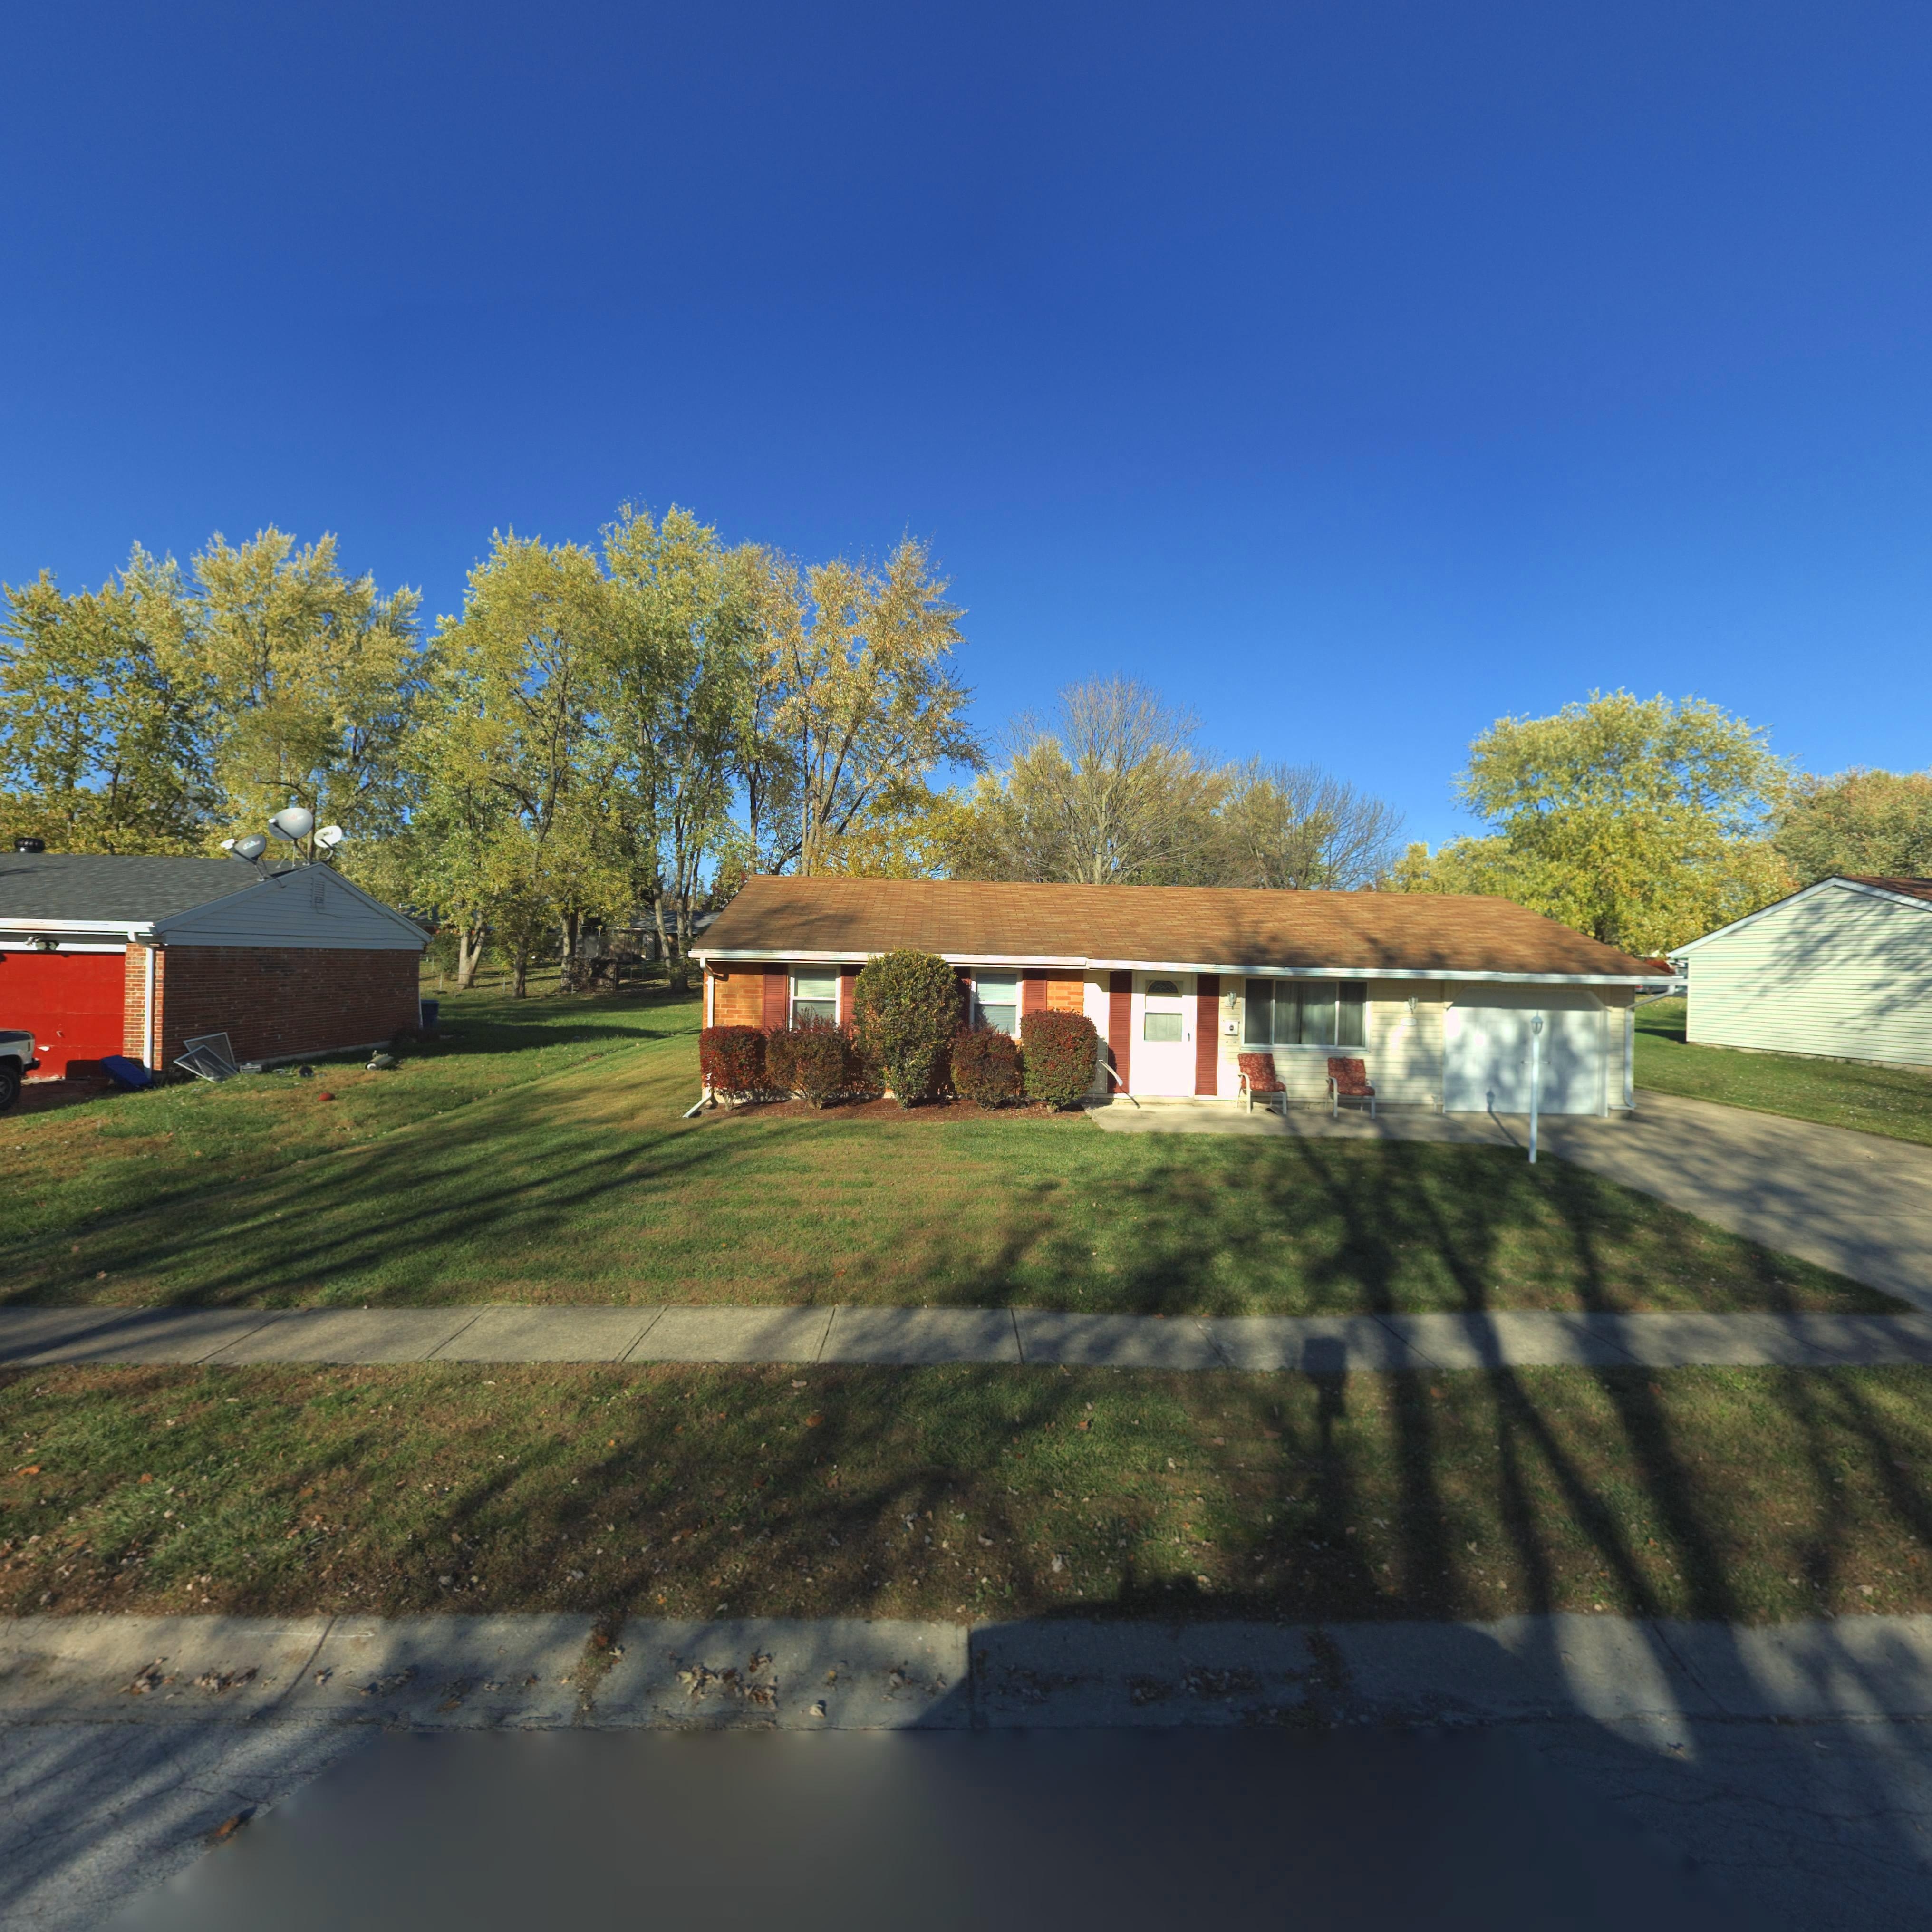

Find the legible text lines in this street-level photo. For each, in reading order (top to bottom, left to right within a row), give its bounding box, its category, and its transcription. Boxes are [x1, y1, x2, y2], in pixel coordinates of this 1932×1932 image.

[49, 942, 55, 949] StreetNumber: 9
[1402, 1018, 1414, 1024] StreetNumber: ***5